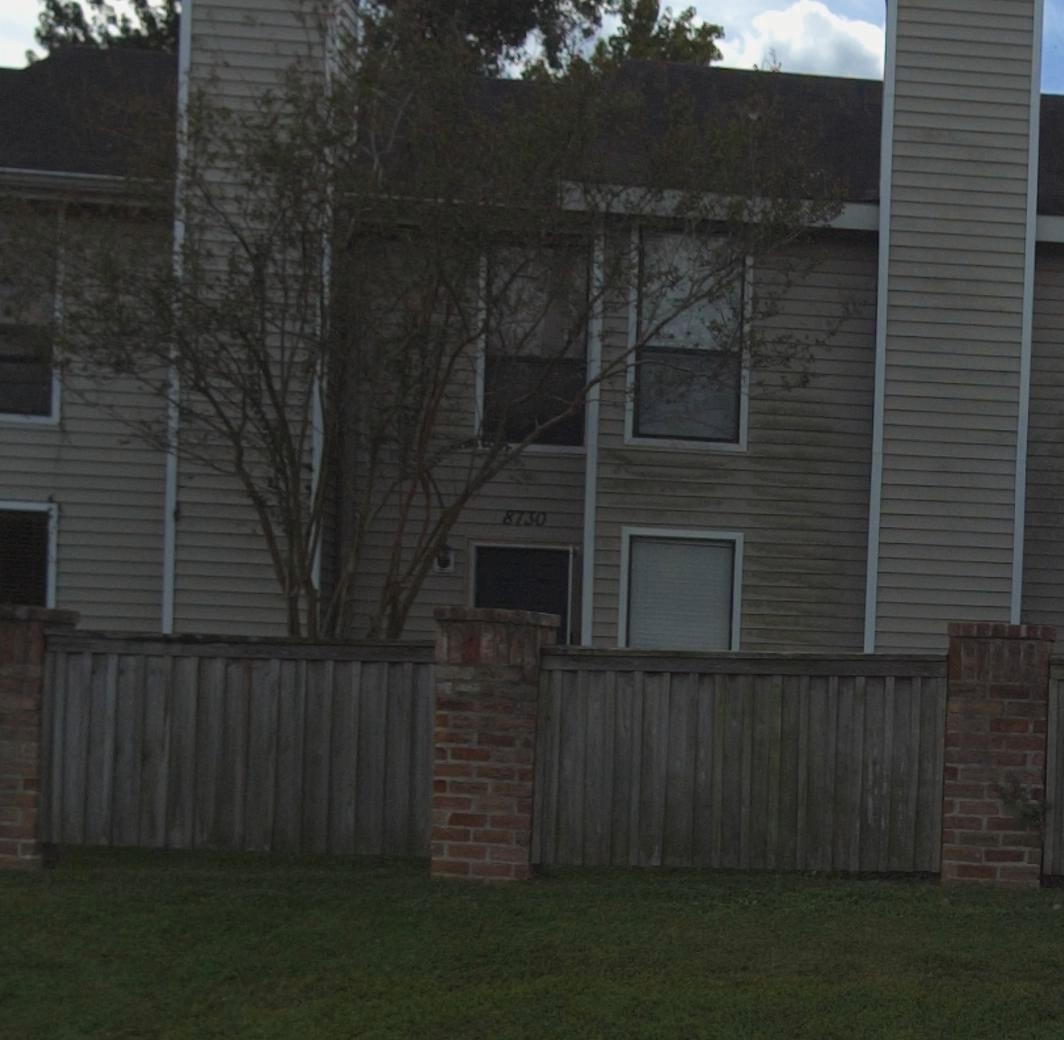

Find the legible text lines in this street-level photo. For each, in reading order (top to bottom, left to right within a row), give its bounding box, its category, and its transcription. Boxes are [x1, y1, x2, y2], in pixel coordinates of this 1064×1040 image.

[500, 507, 549, 529] StreetNumber: 8730